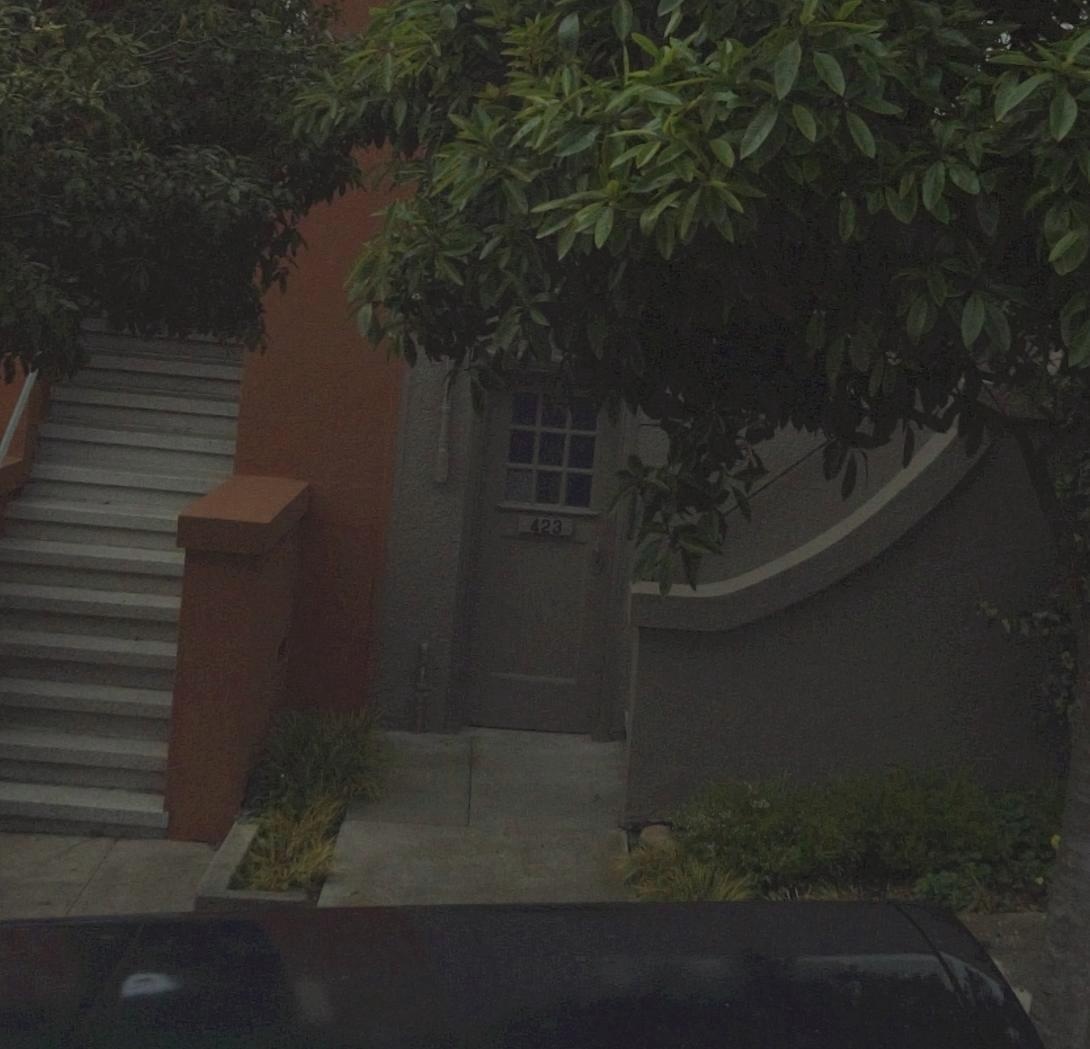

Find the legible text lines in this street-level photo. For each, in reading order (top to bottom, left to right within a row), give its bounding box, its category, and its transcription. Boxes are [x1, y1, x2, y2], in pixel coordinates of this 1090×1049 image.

[528, 517, 564, 535] StreetNumber: 423